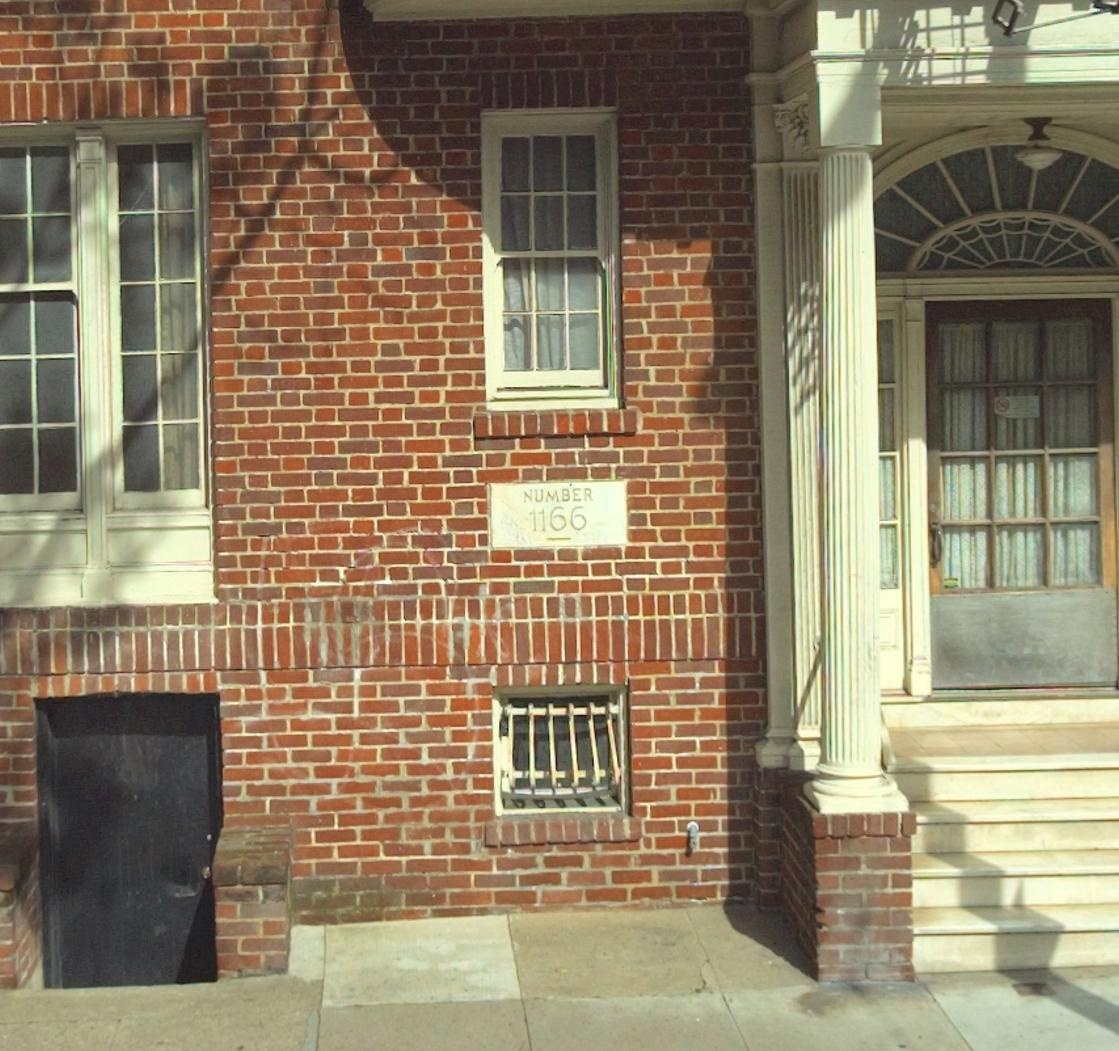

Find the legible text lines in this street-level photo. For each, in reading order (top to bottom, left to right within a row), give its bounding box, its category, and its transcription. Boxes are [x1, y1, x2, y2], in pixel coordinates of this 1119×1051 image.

[521, 486, 595, 504] None: NUMBER
[526, 504, 589, 534] StreetNumber: 1166